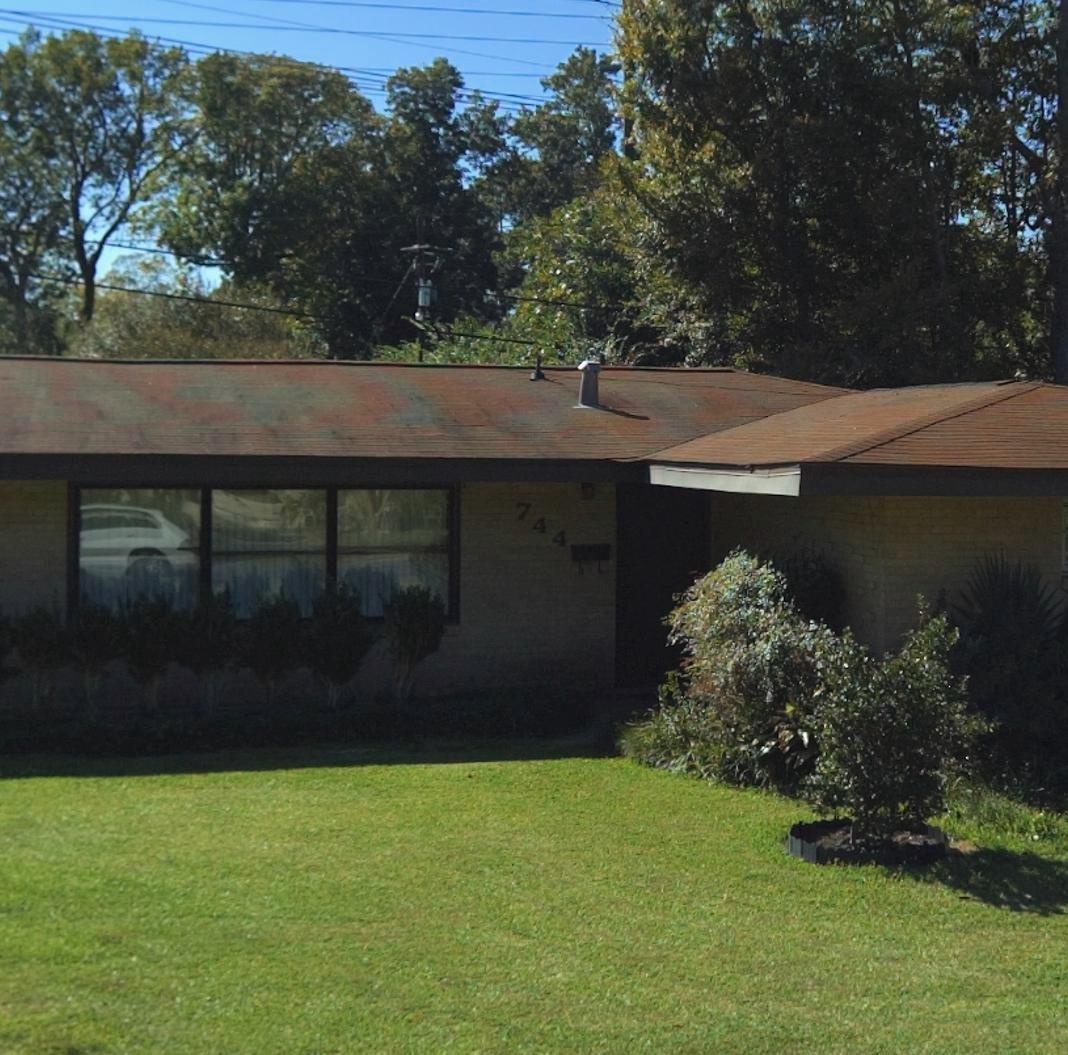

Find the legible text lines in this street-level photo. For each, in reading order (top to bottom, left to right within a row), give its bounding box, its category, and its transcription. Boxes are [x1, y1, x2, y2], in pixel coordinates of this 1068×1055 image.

[514, 501, 568, 548] StreetNumber: 744